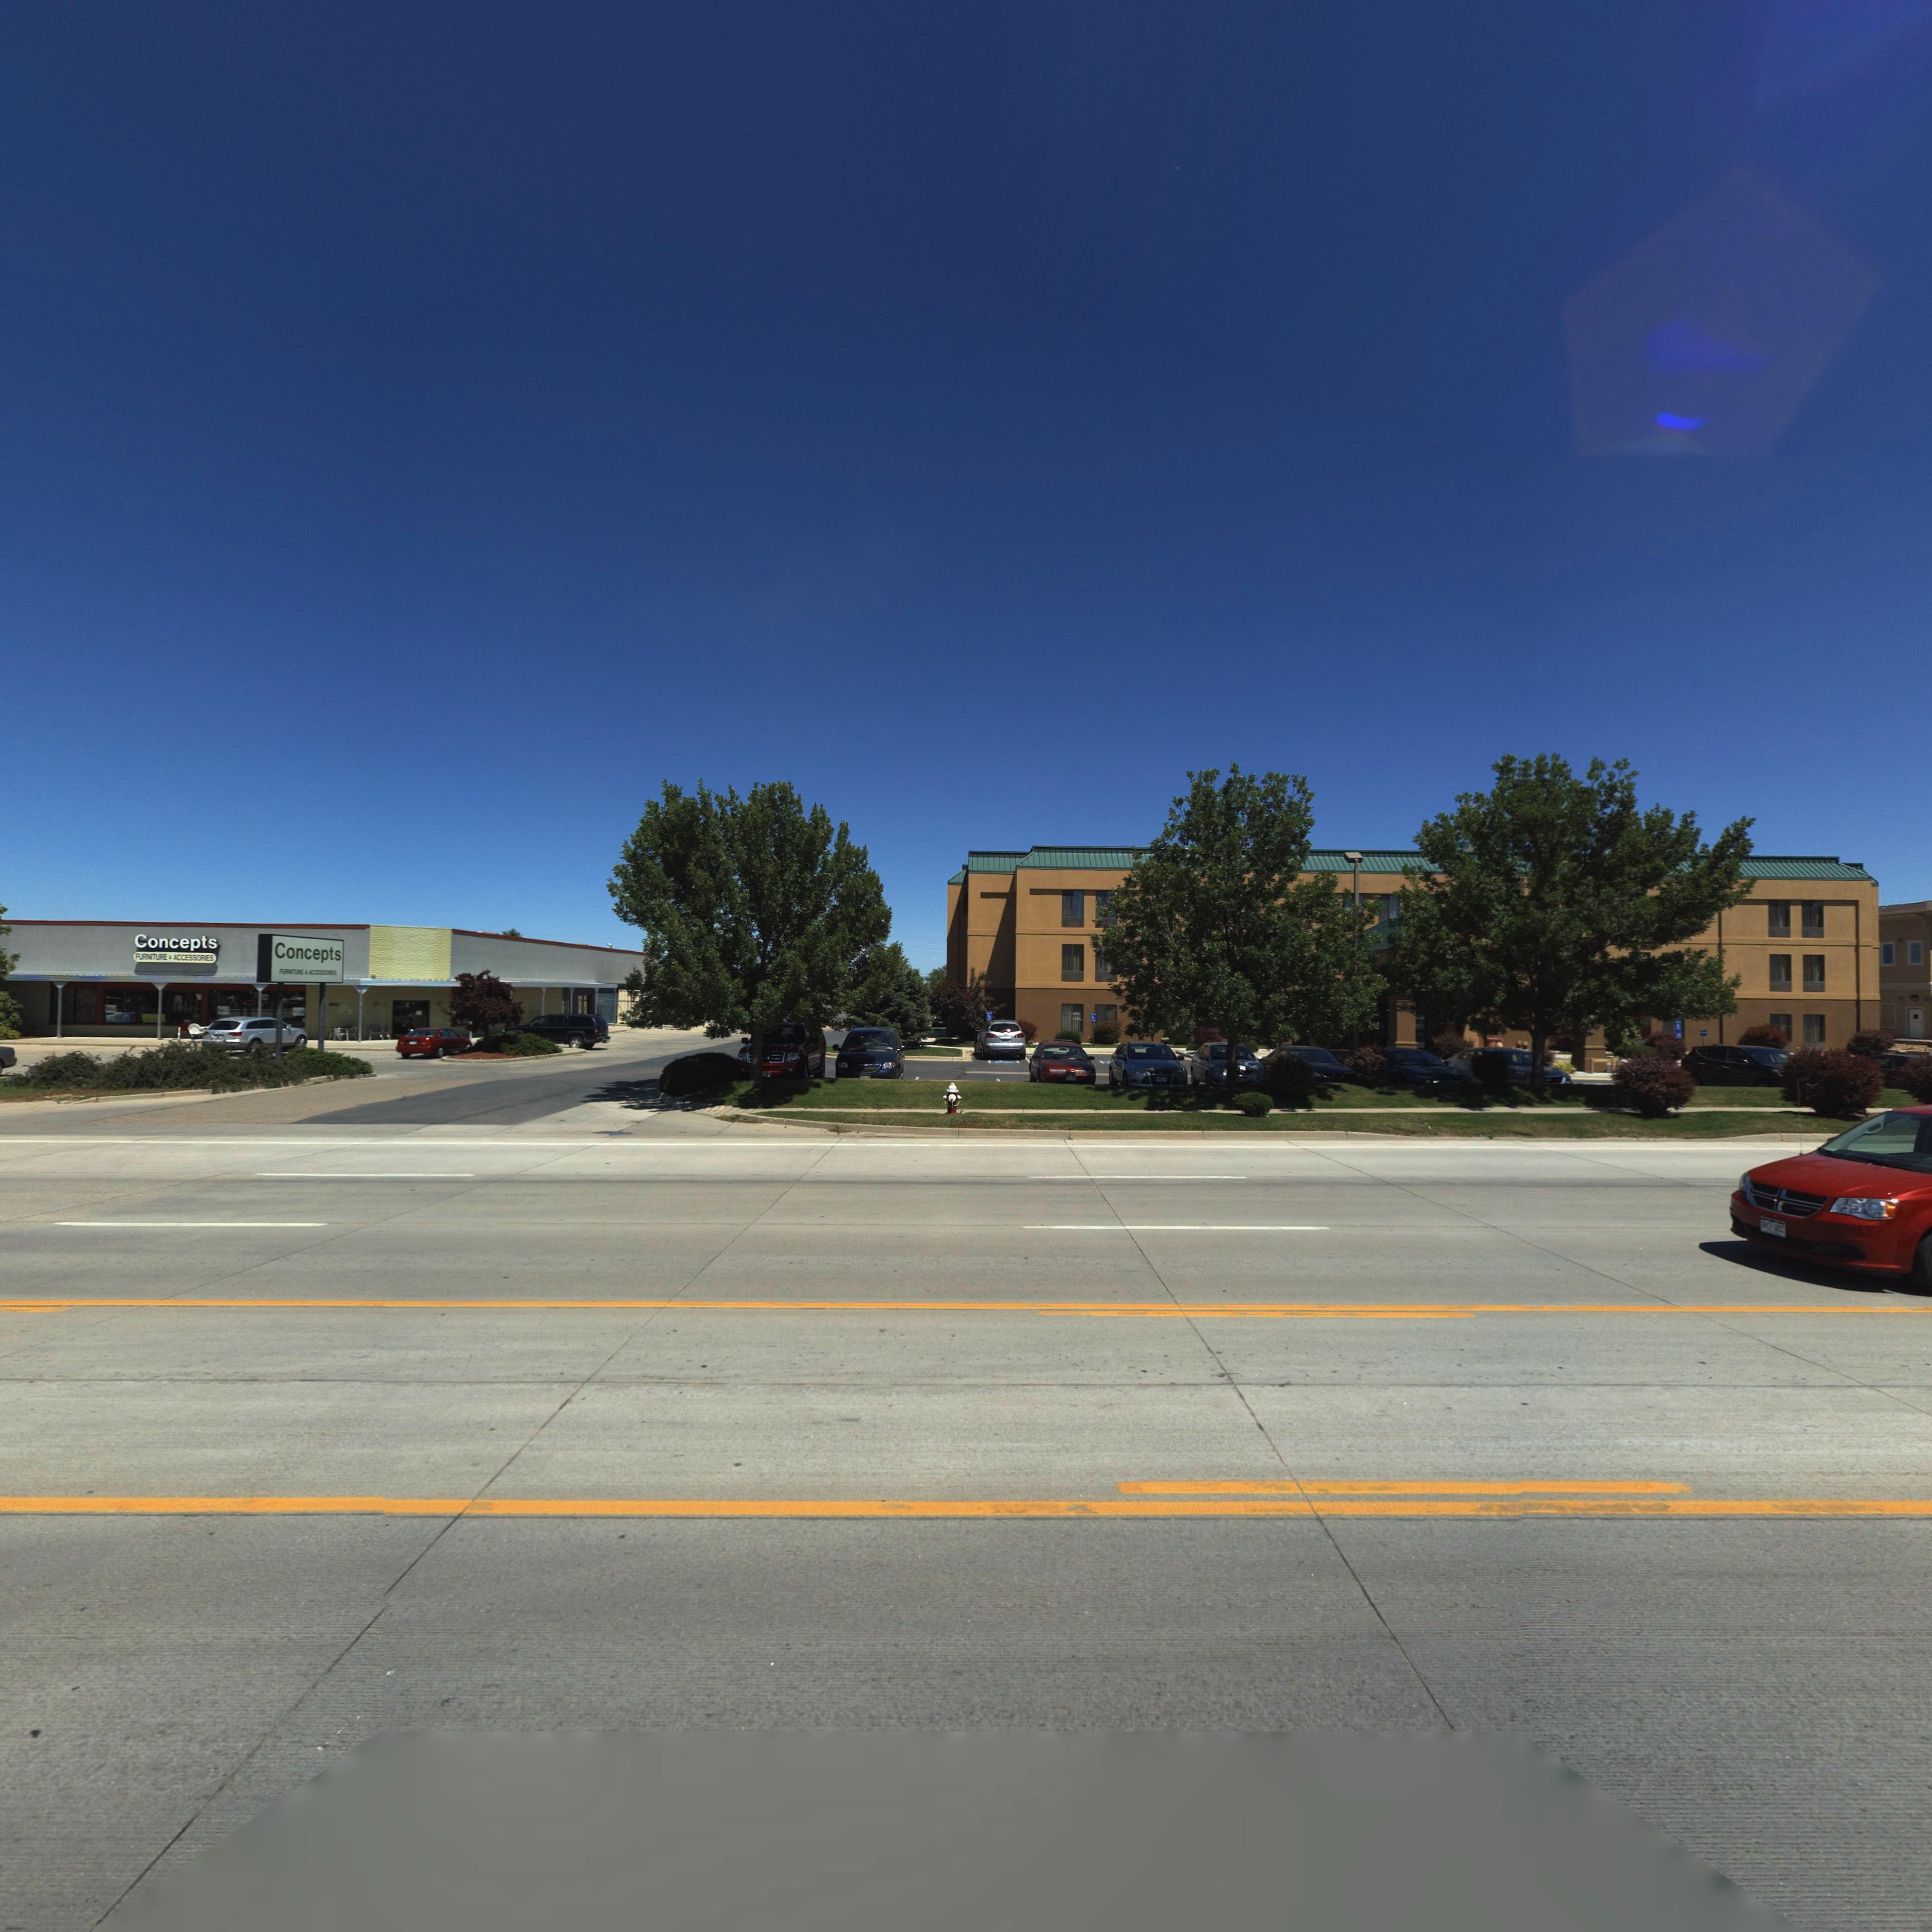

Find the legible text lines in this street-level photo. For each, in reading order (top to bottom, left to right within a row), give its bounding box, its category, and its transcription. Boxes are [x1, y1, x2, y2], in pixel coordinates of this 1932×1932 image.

[135, 934, 217, 952] BusinessName: Concepts
[274, 942, 341, 963] BusinessName: Concepts
[328, 1002, 338, 1006] StreetNumber: *00